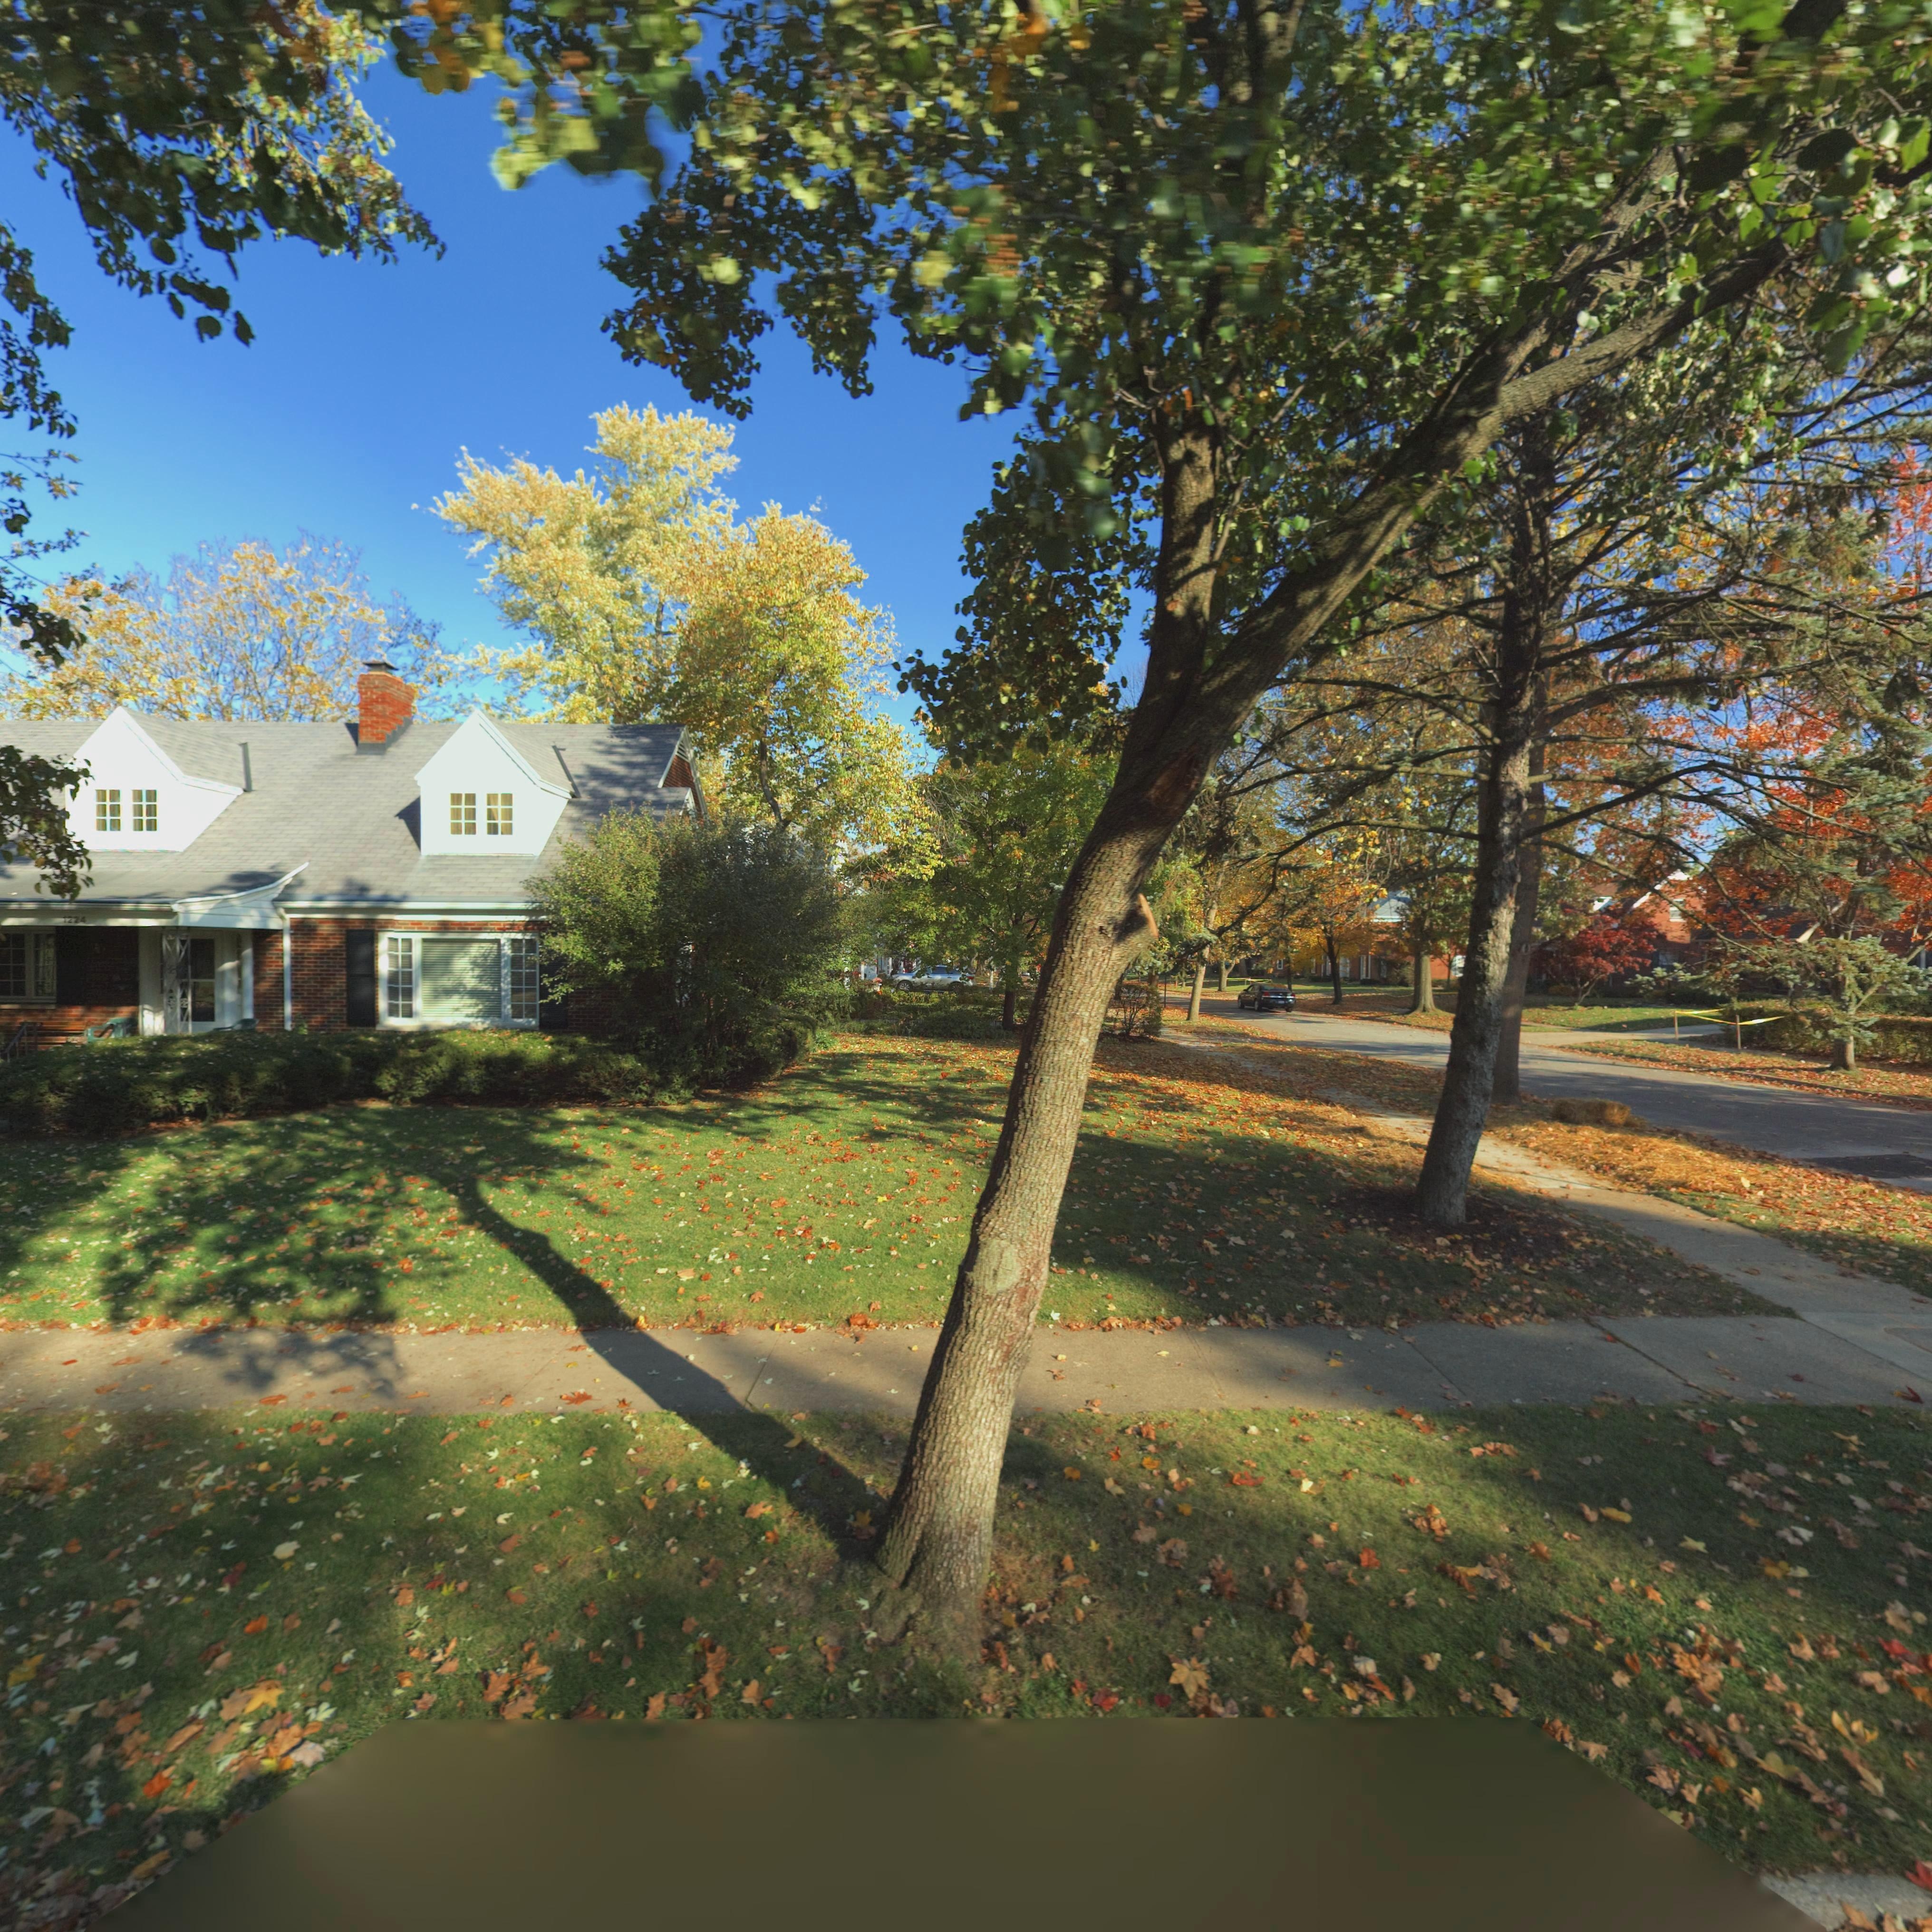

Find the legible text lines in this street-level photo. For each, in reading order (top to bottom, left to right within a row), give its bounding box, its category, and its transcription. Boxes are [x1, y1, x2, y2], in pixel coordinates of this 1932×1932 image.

[61, 915, 87, 925] StreetNumber: 1224